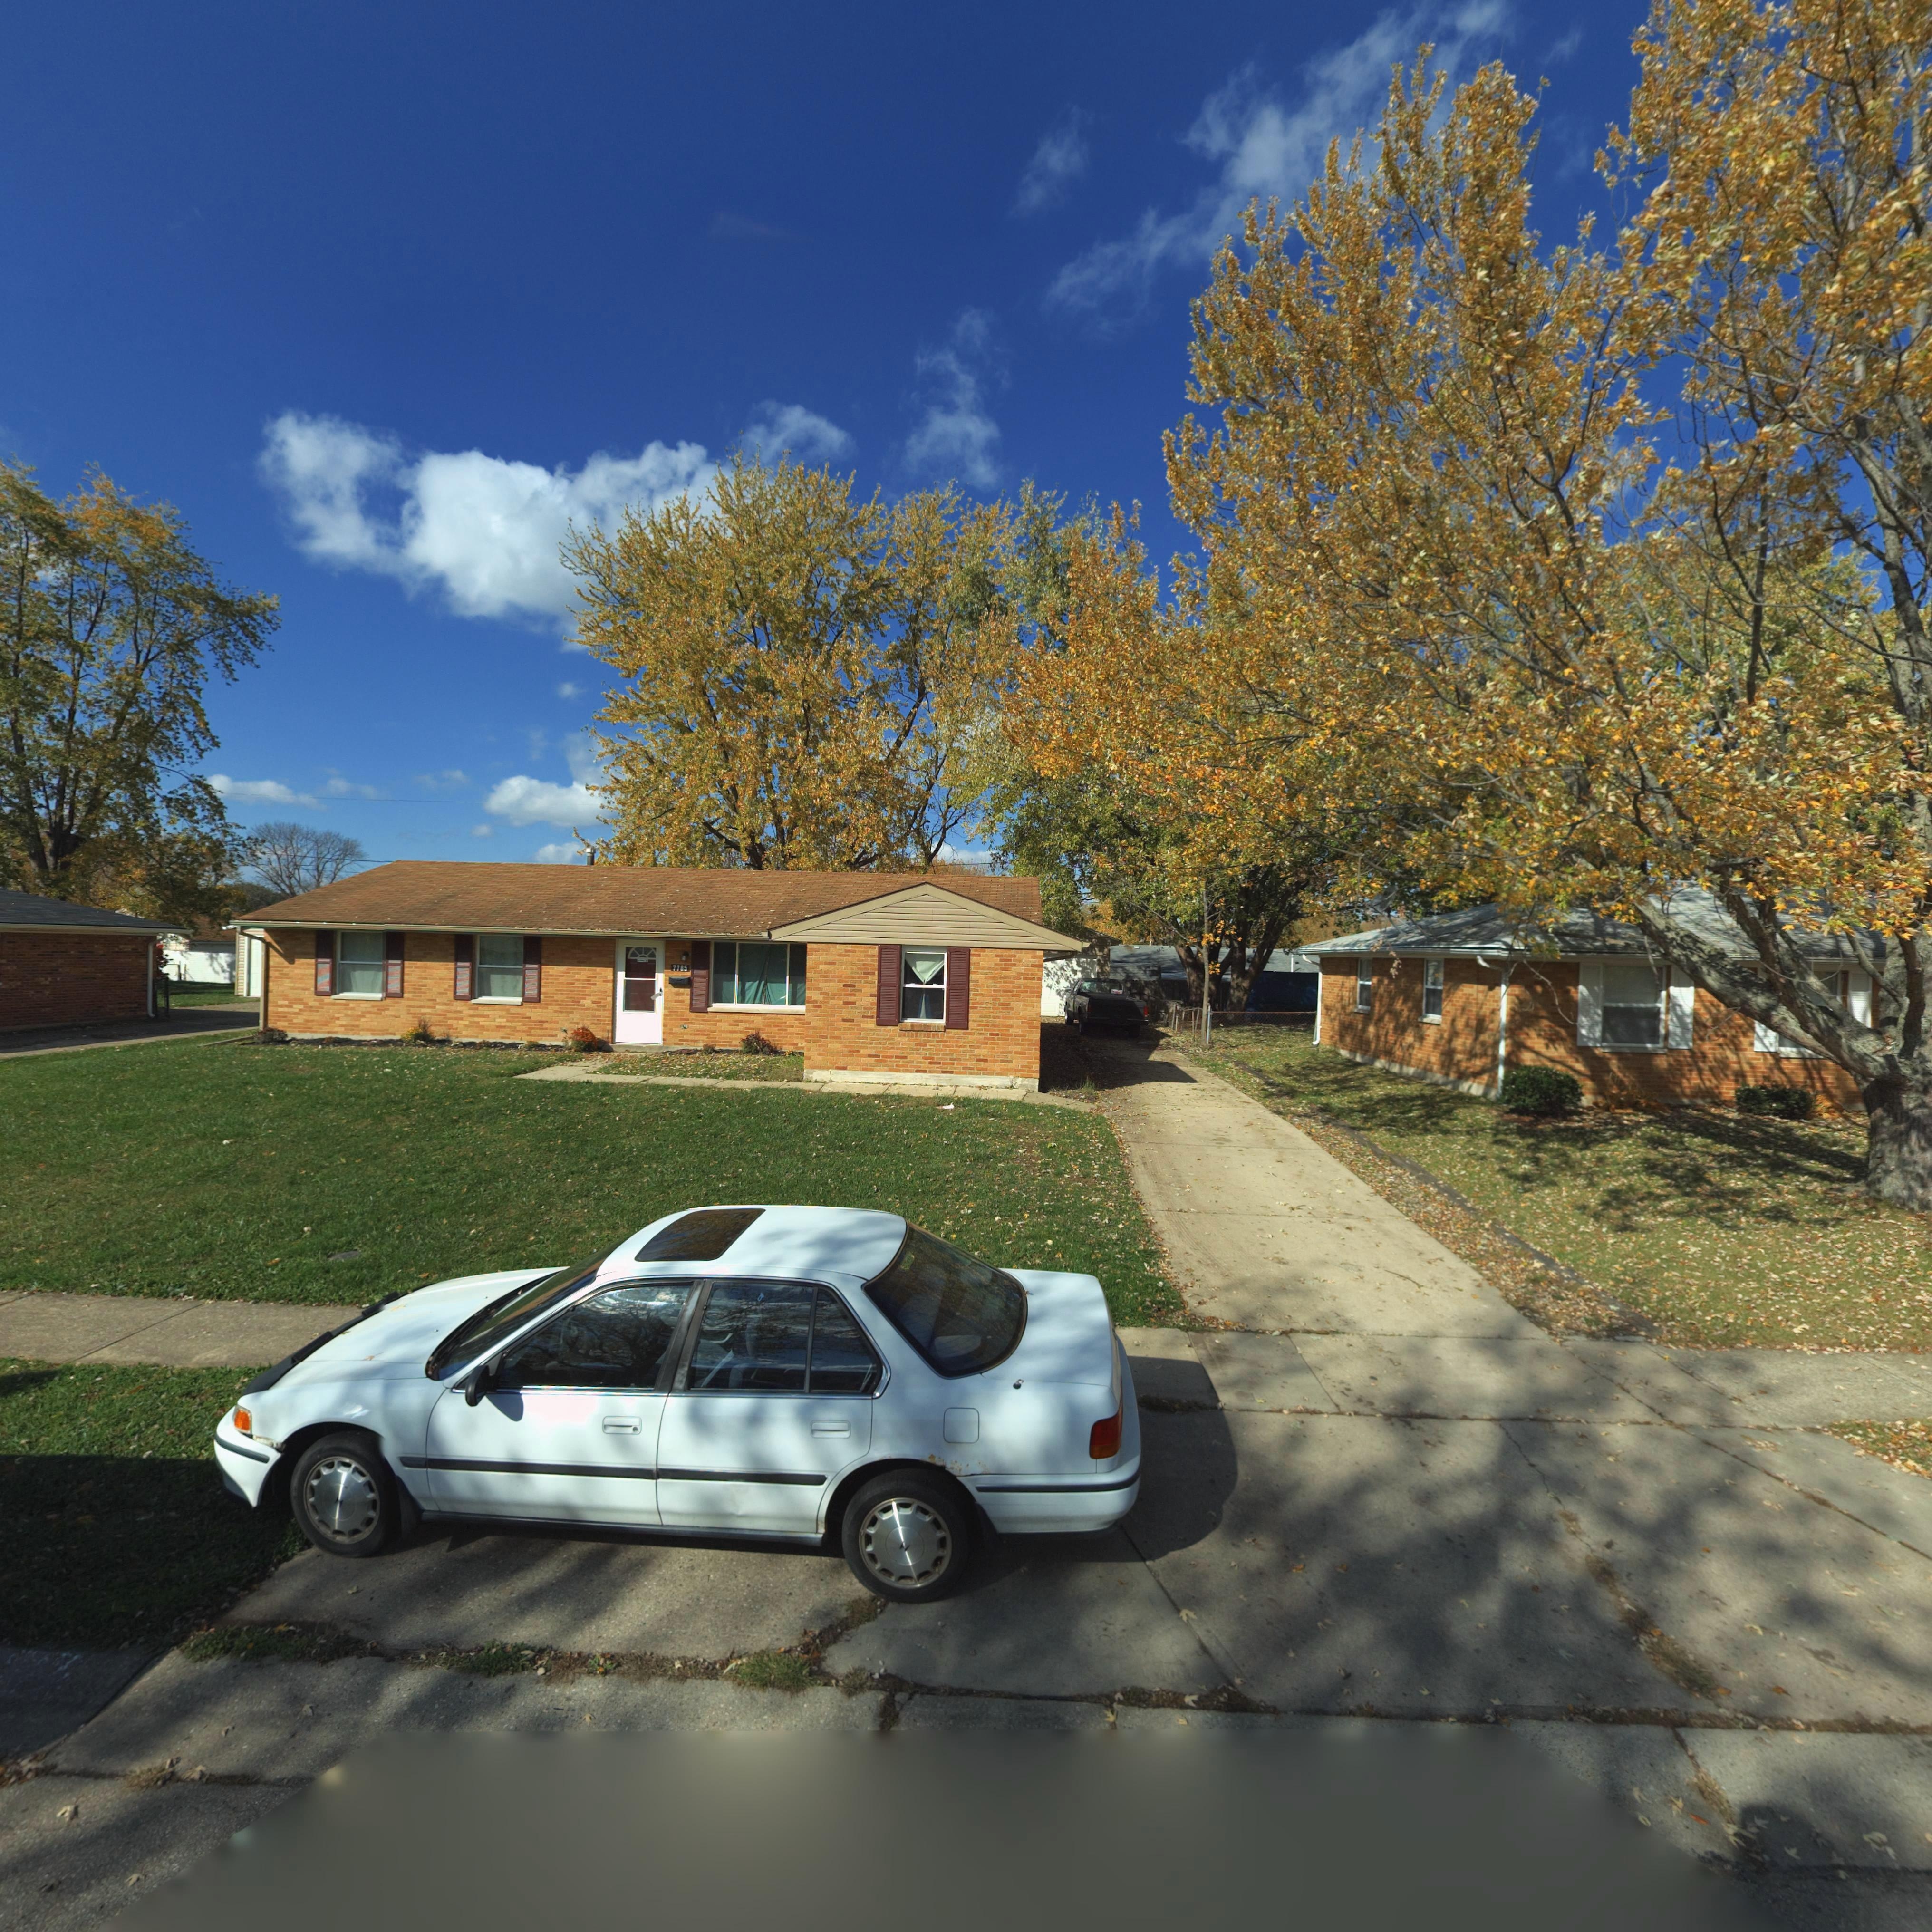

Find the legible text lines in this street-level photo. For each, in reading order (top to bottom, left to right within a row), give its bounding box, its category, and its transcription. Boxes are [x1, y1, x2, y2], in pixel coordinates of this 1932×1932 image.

[672, 964, 688, 972] StreetNumber: 7785